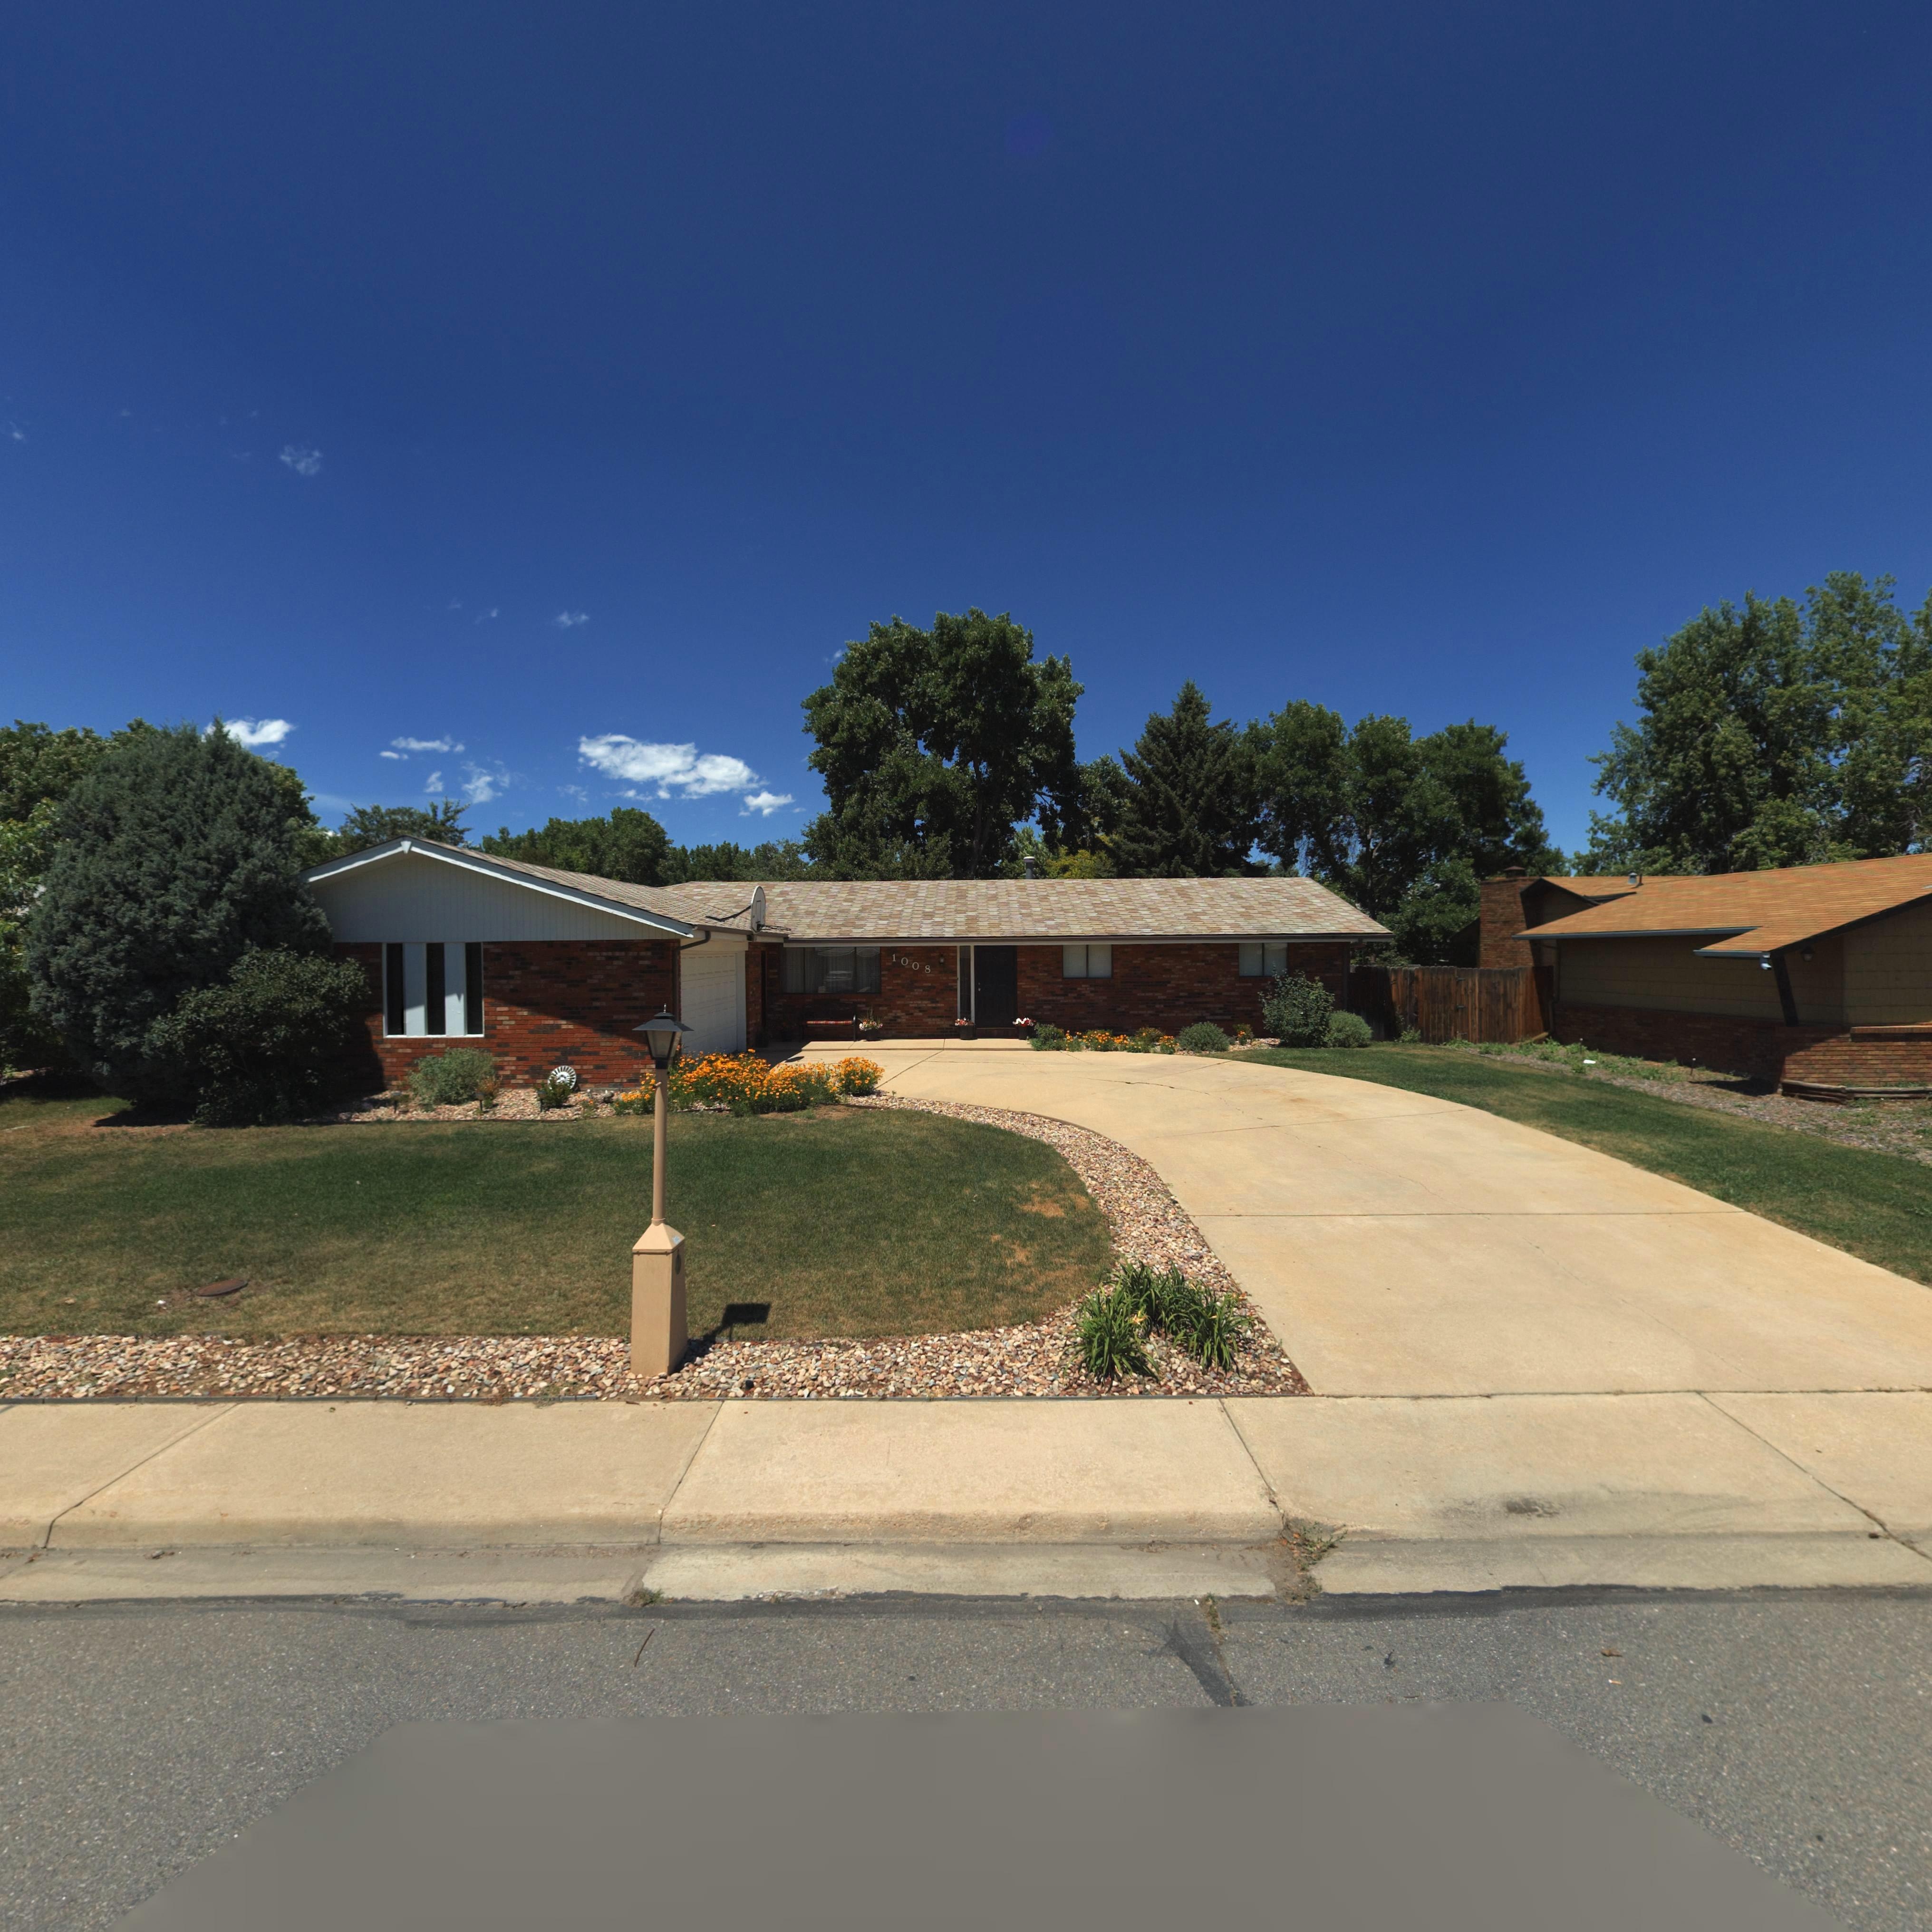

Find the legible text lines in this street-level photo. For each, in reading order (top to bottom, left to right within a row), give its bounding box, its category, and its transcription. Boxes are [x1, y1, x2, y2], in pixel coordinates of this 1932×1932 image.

[891, 953, 931, 974] StreetNumber: 1008